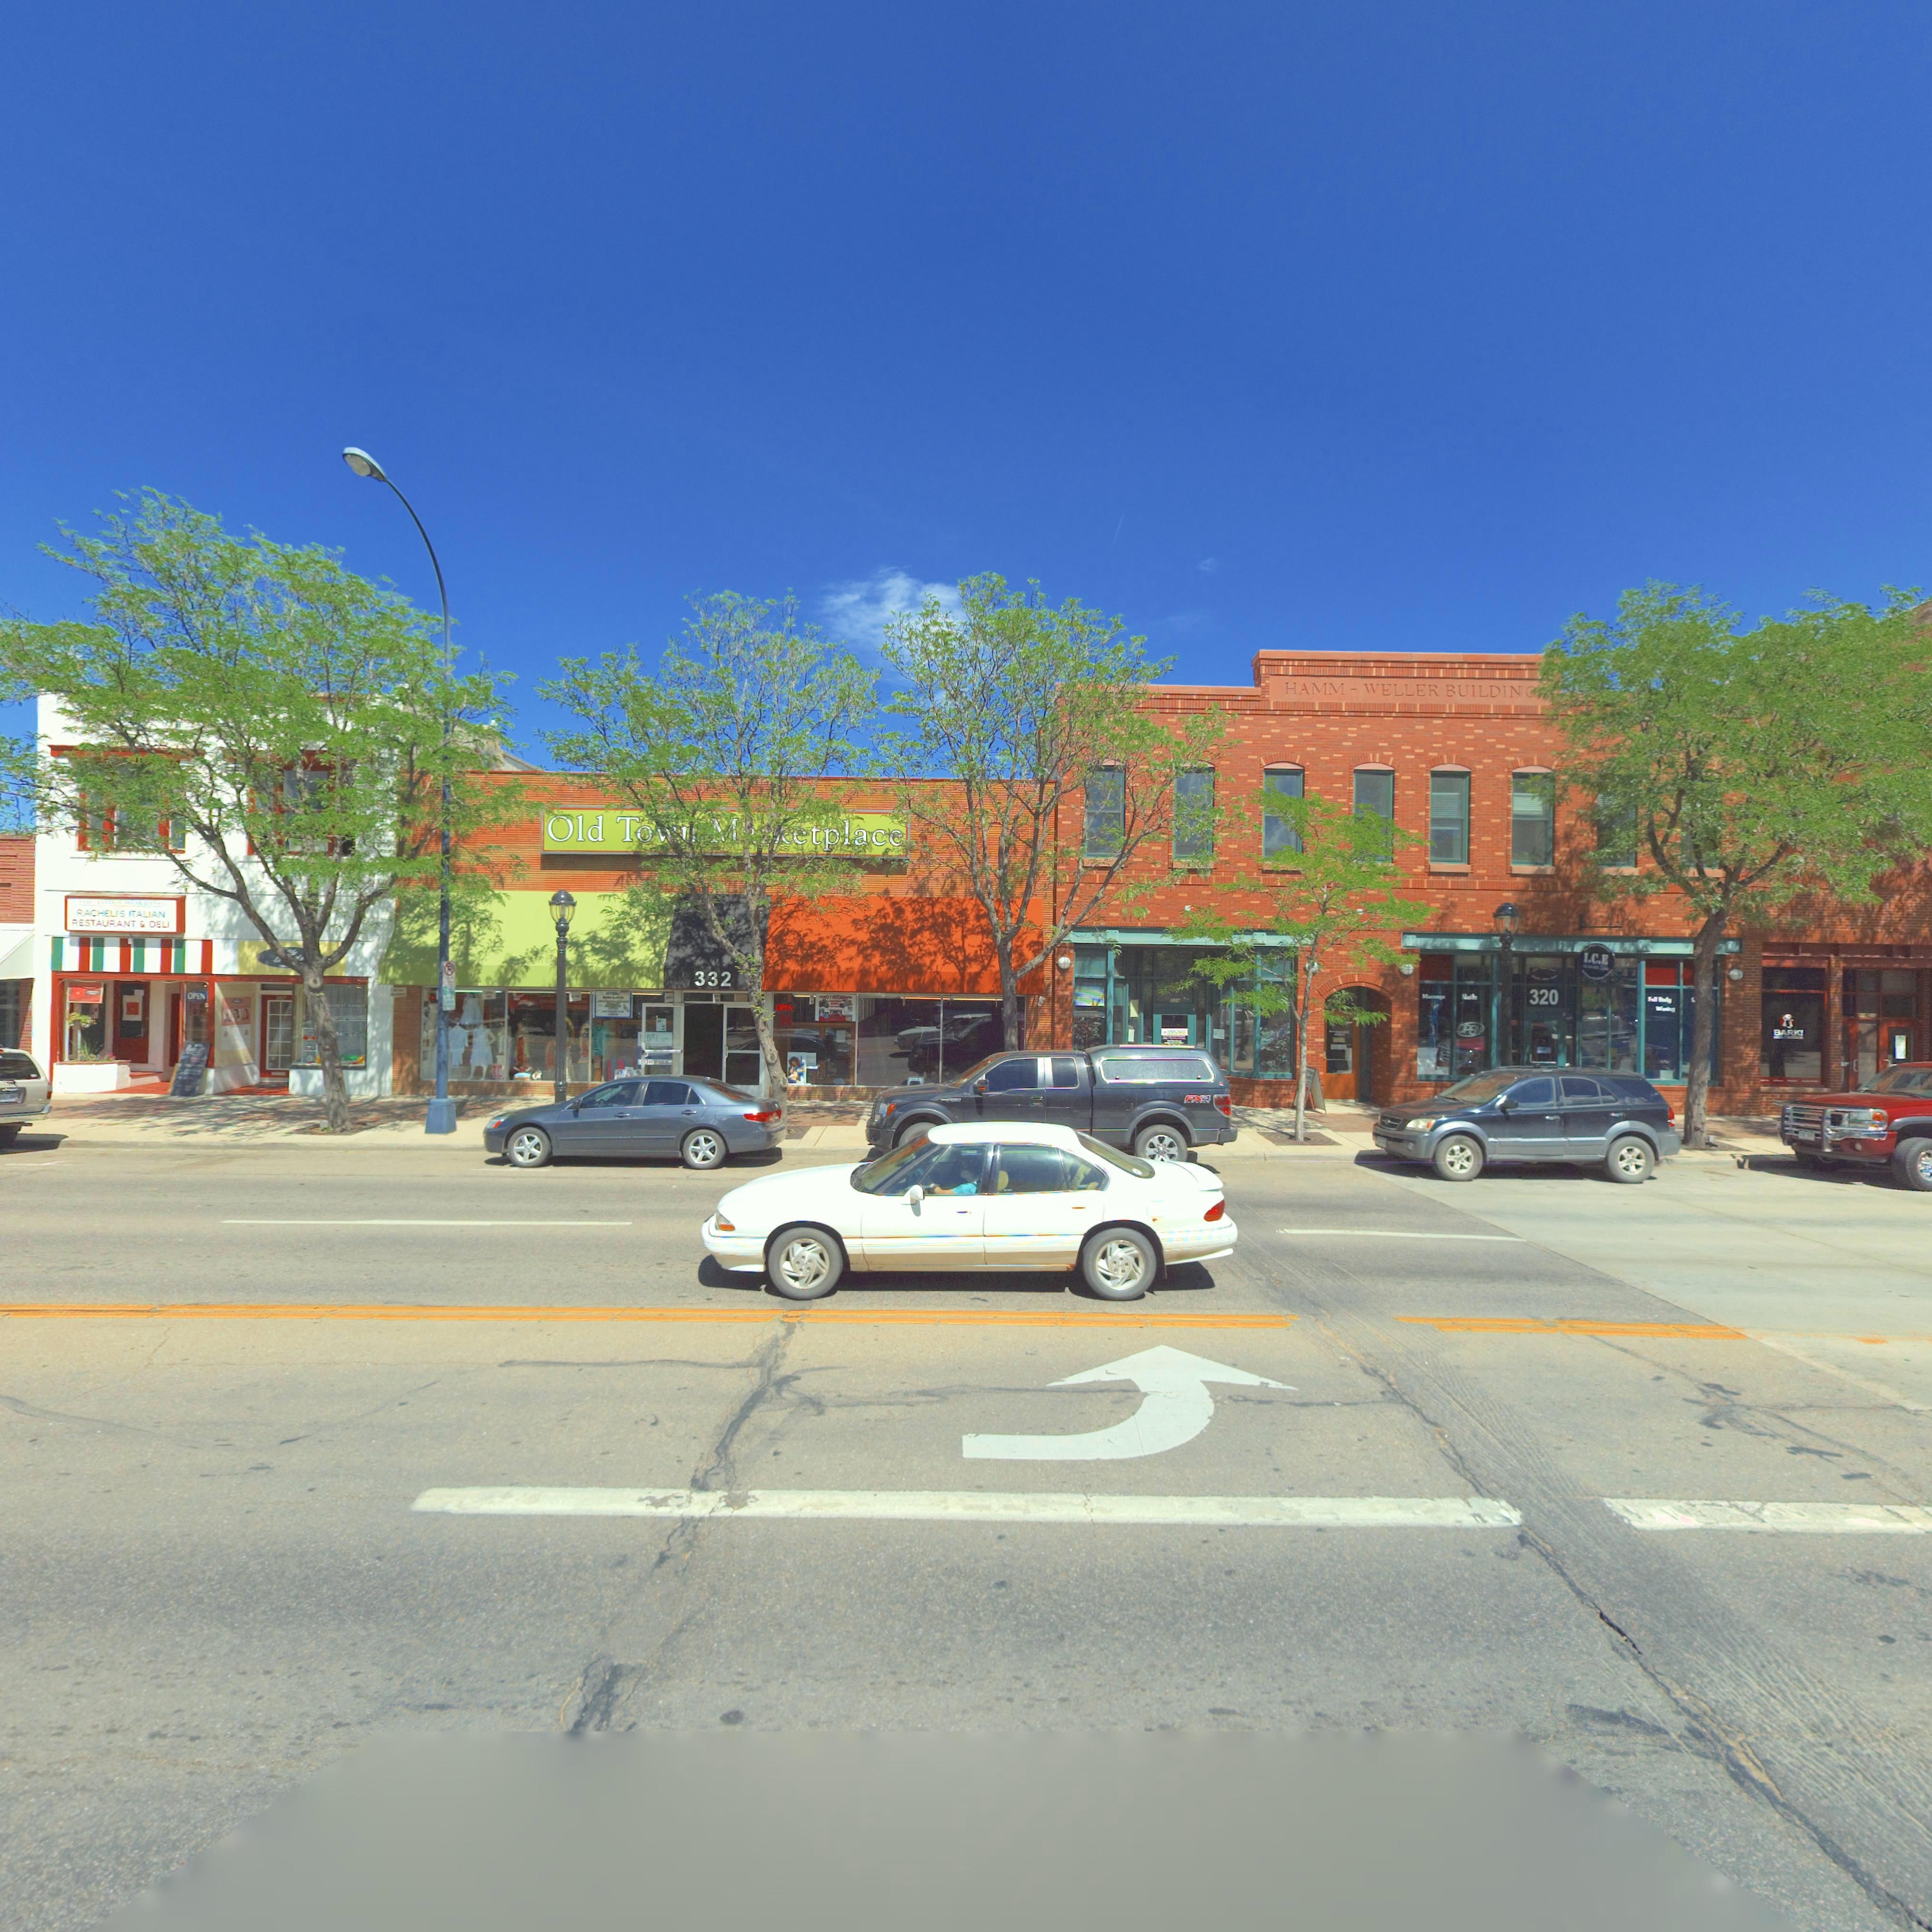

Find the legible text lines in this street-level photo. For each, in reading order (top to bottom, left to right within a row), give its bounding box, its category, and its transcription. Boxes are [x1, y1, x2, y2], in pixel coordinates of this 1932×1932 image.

[547, 814, 904, 852] BusinessName: Old Town M***etplace
[77, 908, 165, 918] BusinessName: RECHELI'S ITALIAN
[71, 918, 170, 928] BusinessName: RESTAURANT & DELI
[290, 948, 297, 955] BusinessName: s
[1583, 951, 1609, 966] BusinessName: I.C.E
[694, 969, 732, 987] StreetNumber: 332
[1170, 998, 1181, 1003] StreetNumber: 3*4
[1528, 988, 1559, 1005] StreetNumber: 320
[1773, 1028, 1804, 1036] BusinessName: BARK!